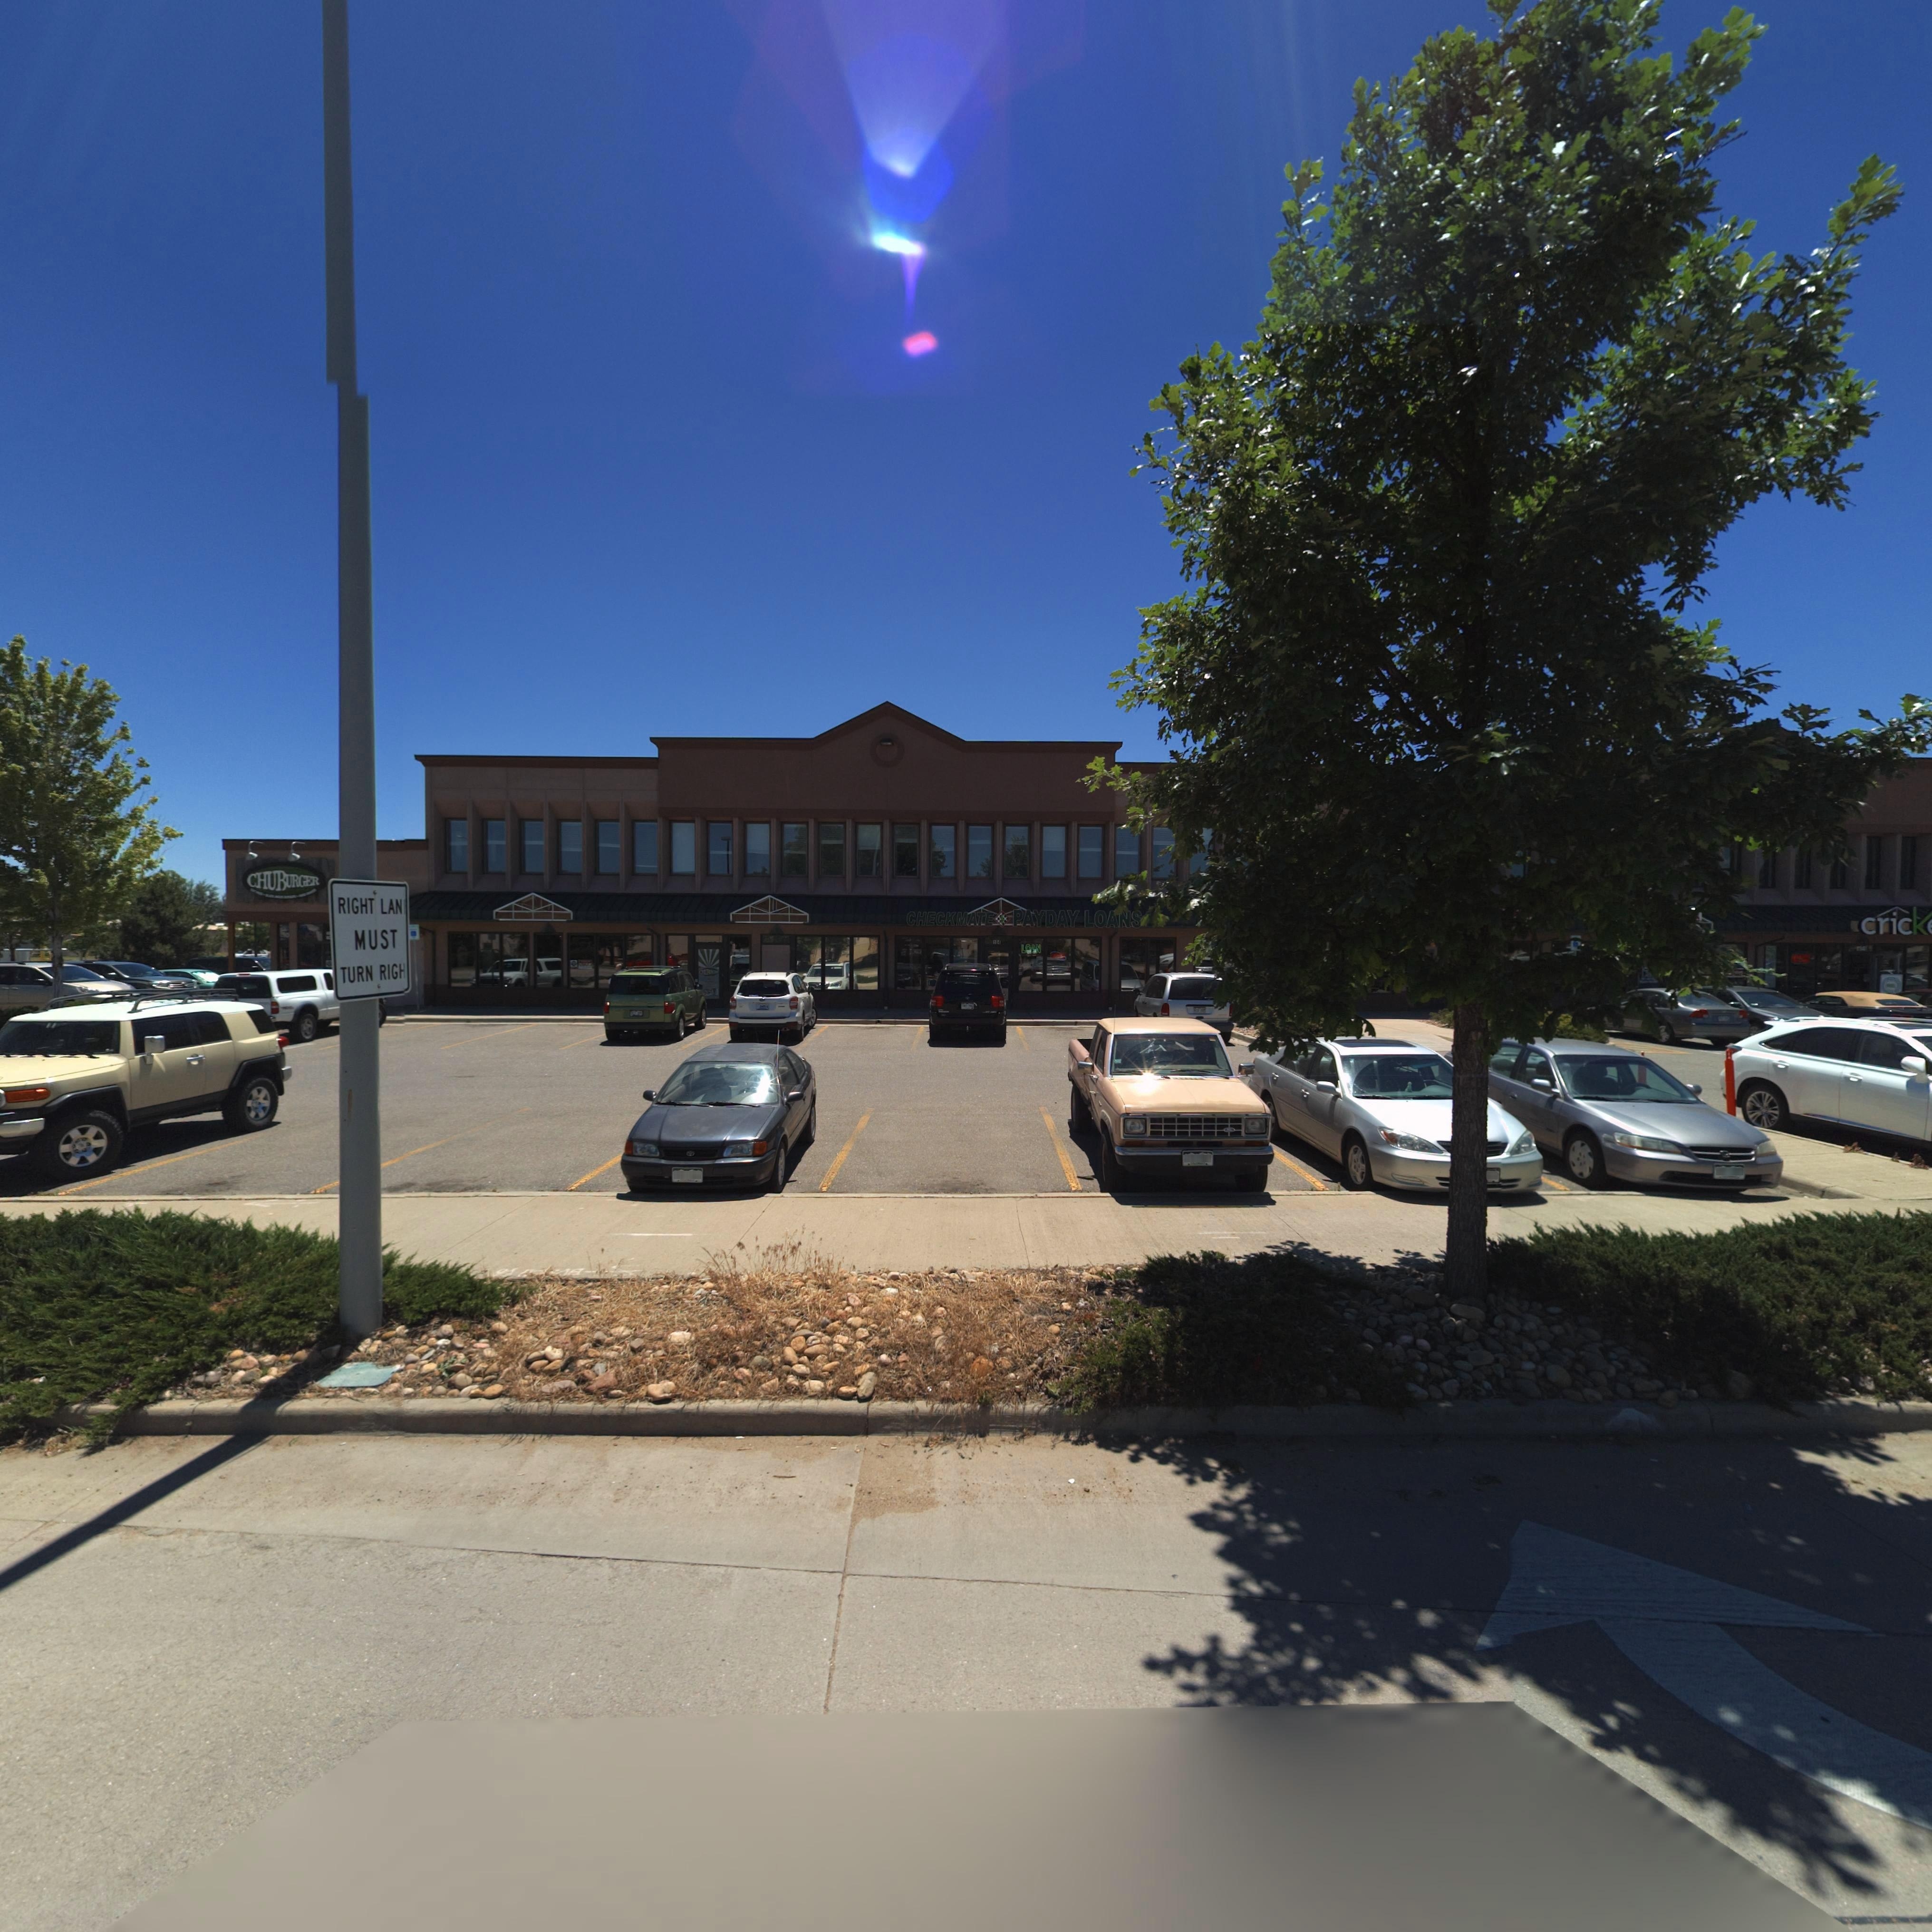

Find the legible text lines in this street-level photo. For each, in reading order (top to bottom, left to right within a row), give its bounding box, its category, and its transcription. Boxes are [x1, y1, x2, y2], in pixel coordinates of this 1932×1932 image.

[246, 869, 320, 892] BusinessName: CHUBURGER
[905, 908, 1143, 929] BusinessName: CHECKMATE*PAYDAY LOANS
[1860, 910, 1929, 935] BusinessName: crick